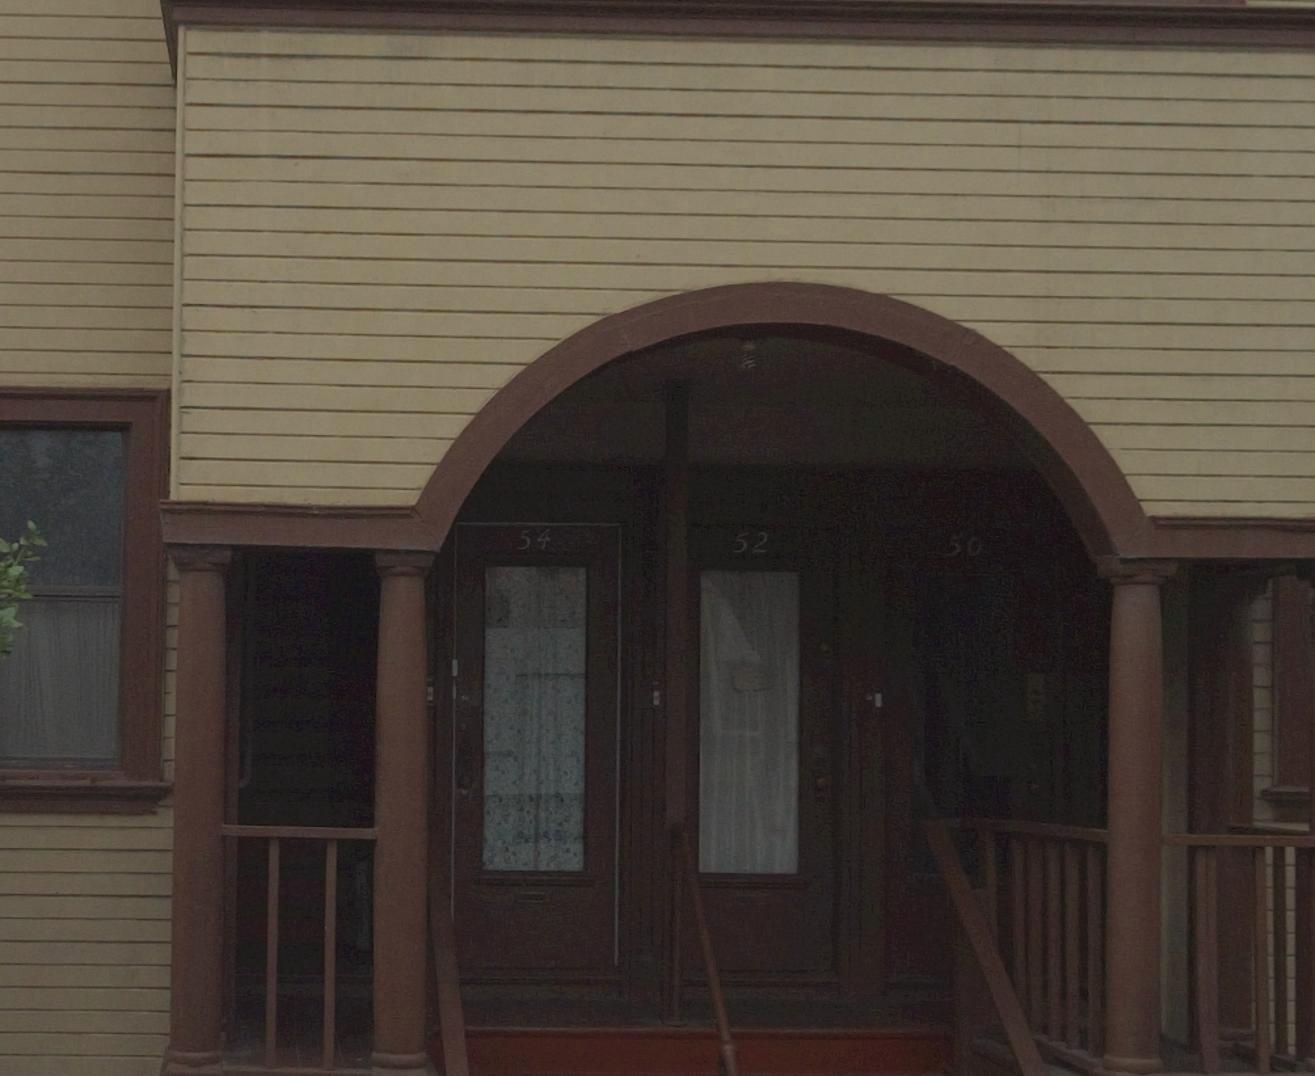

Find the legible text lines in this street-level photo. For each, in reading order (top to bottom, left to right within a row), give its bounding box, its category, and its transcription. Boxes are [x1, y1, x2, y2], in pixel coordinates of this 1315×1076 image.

[515, 527, 553, 552] StreetNumber: 54
[730, 529, 769, 555] StreetNumber: 52
[940, 533, 984, 559] StreetNumber: 50